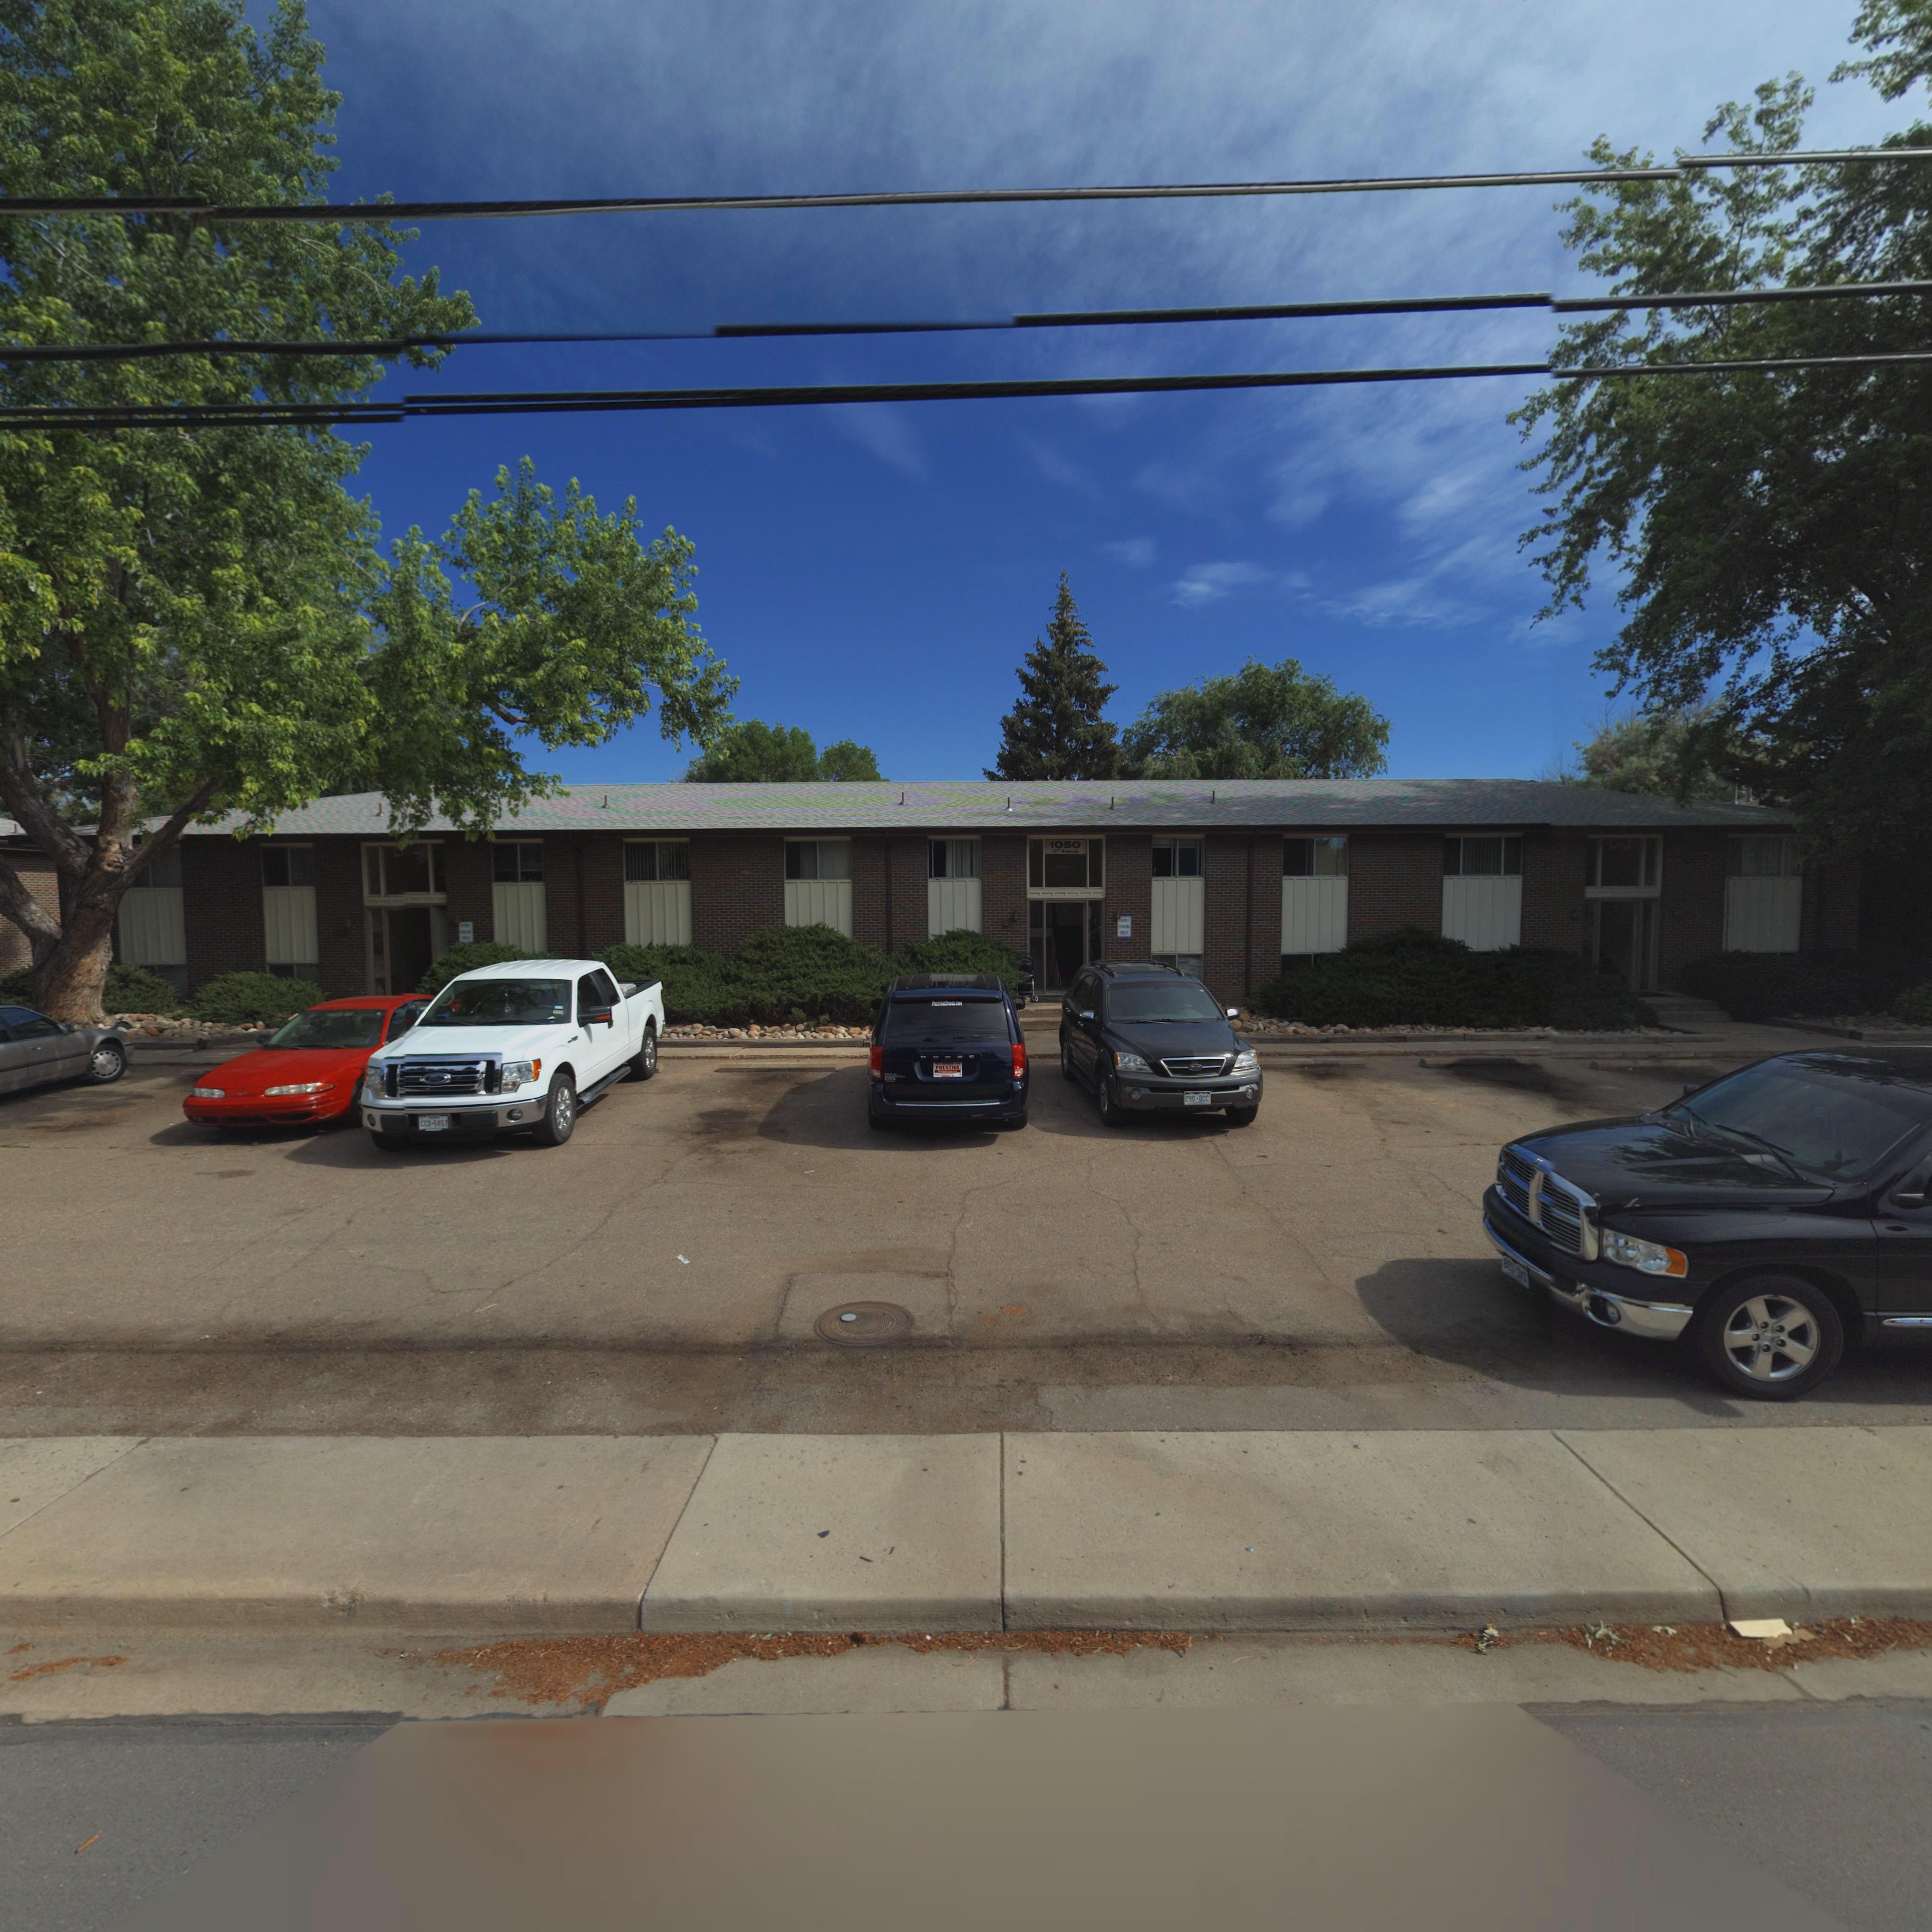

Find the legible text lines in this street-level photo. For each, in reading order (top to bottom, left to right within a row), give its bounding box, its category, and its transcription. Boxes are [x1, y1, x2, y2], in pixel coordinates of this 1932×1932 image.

[1049, 840, 1081, 849] StreetNumber: 1050
[1052, 849, 1079, 853] StreetName: 17** Av*n**